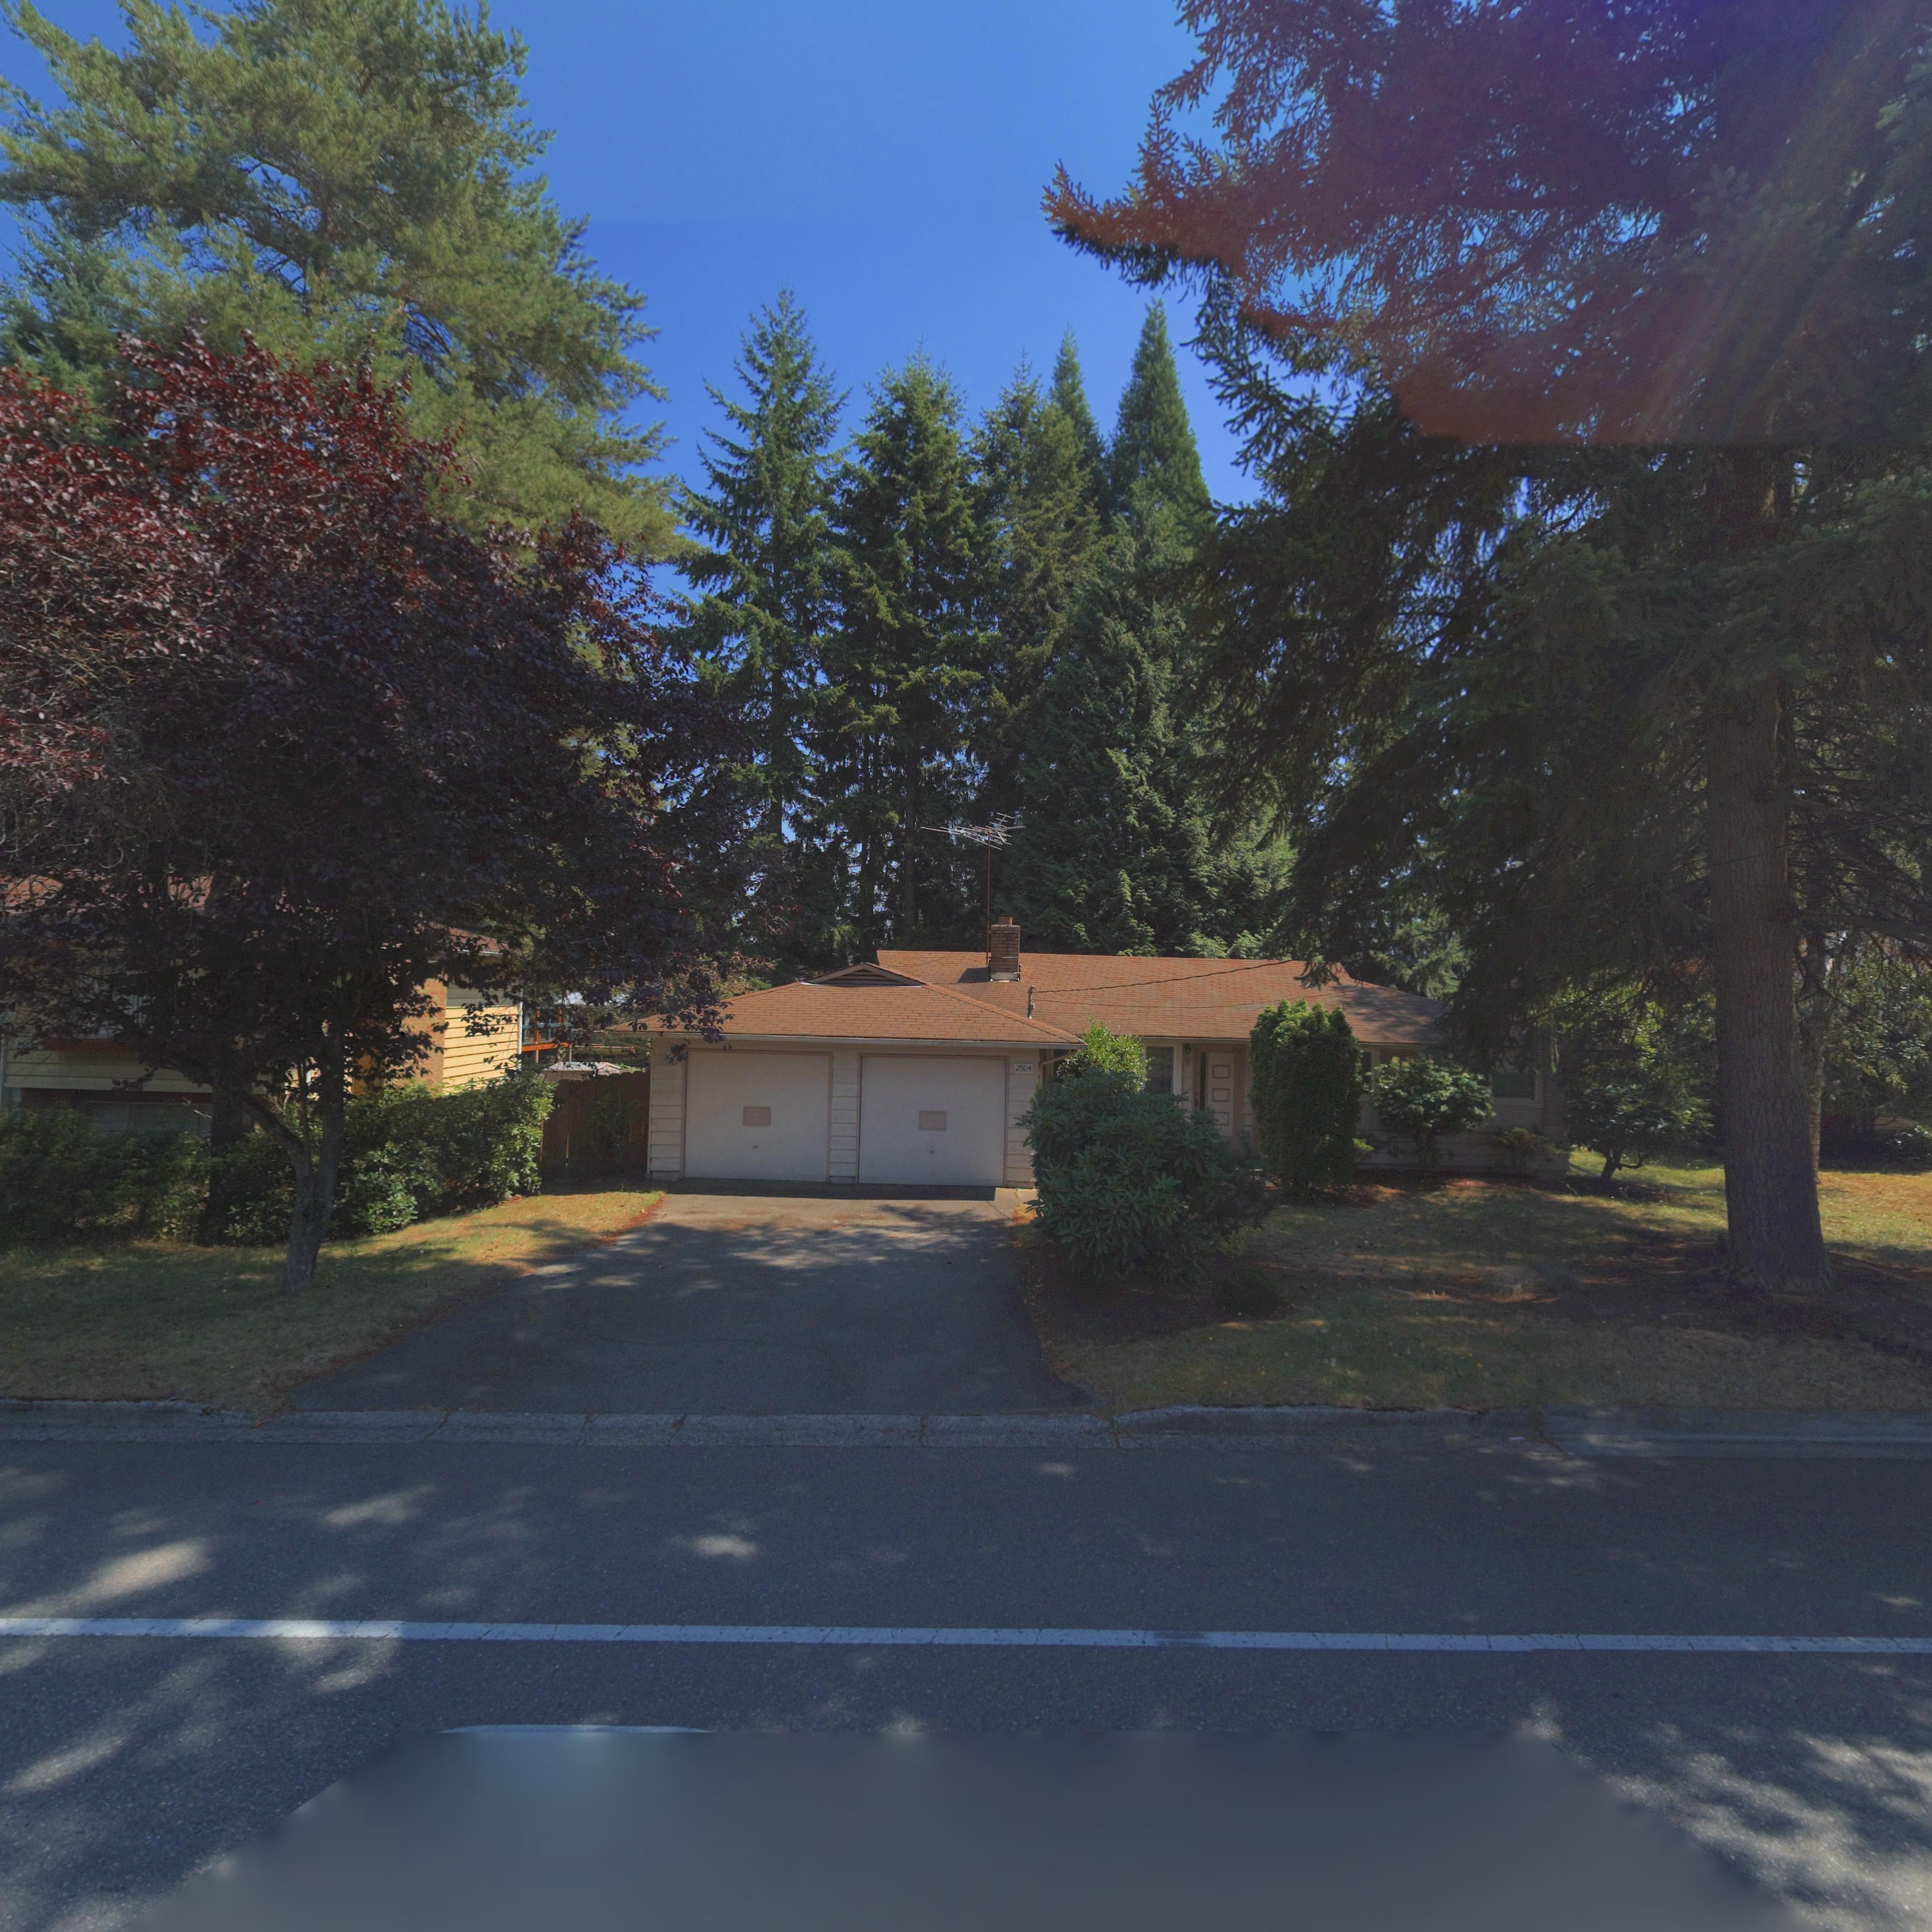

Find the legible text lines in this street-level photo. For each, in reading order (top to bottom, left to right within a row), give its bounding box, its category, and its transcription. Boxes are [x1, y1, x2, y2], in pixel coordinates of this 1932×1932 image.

[1014, 1064, 1032, 1072] StreetNumber: 2504